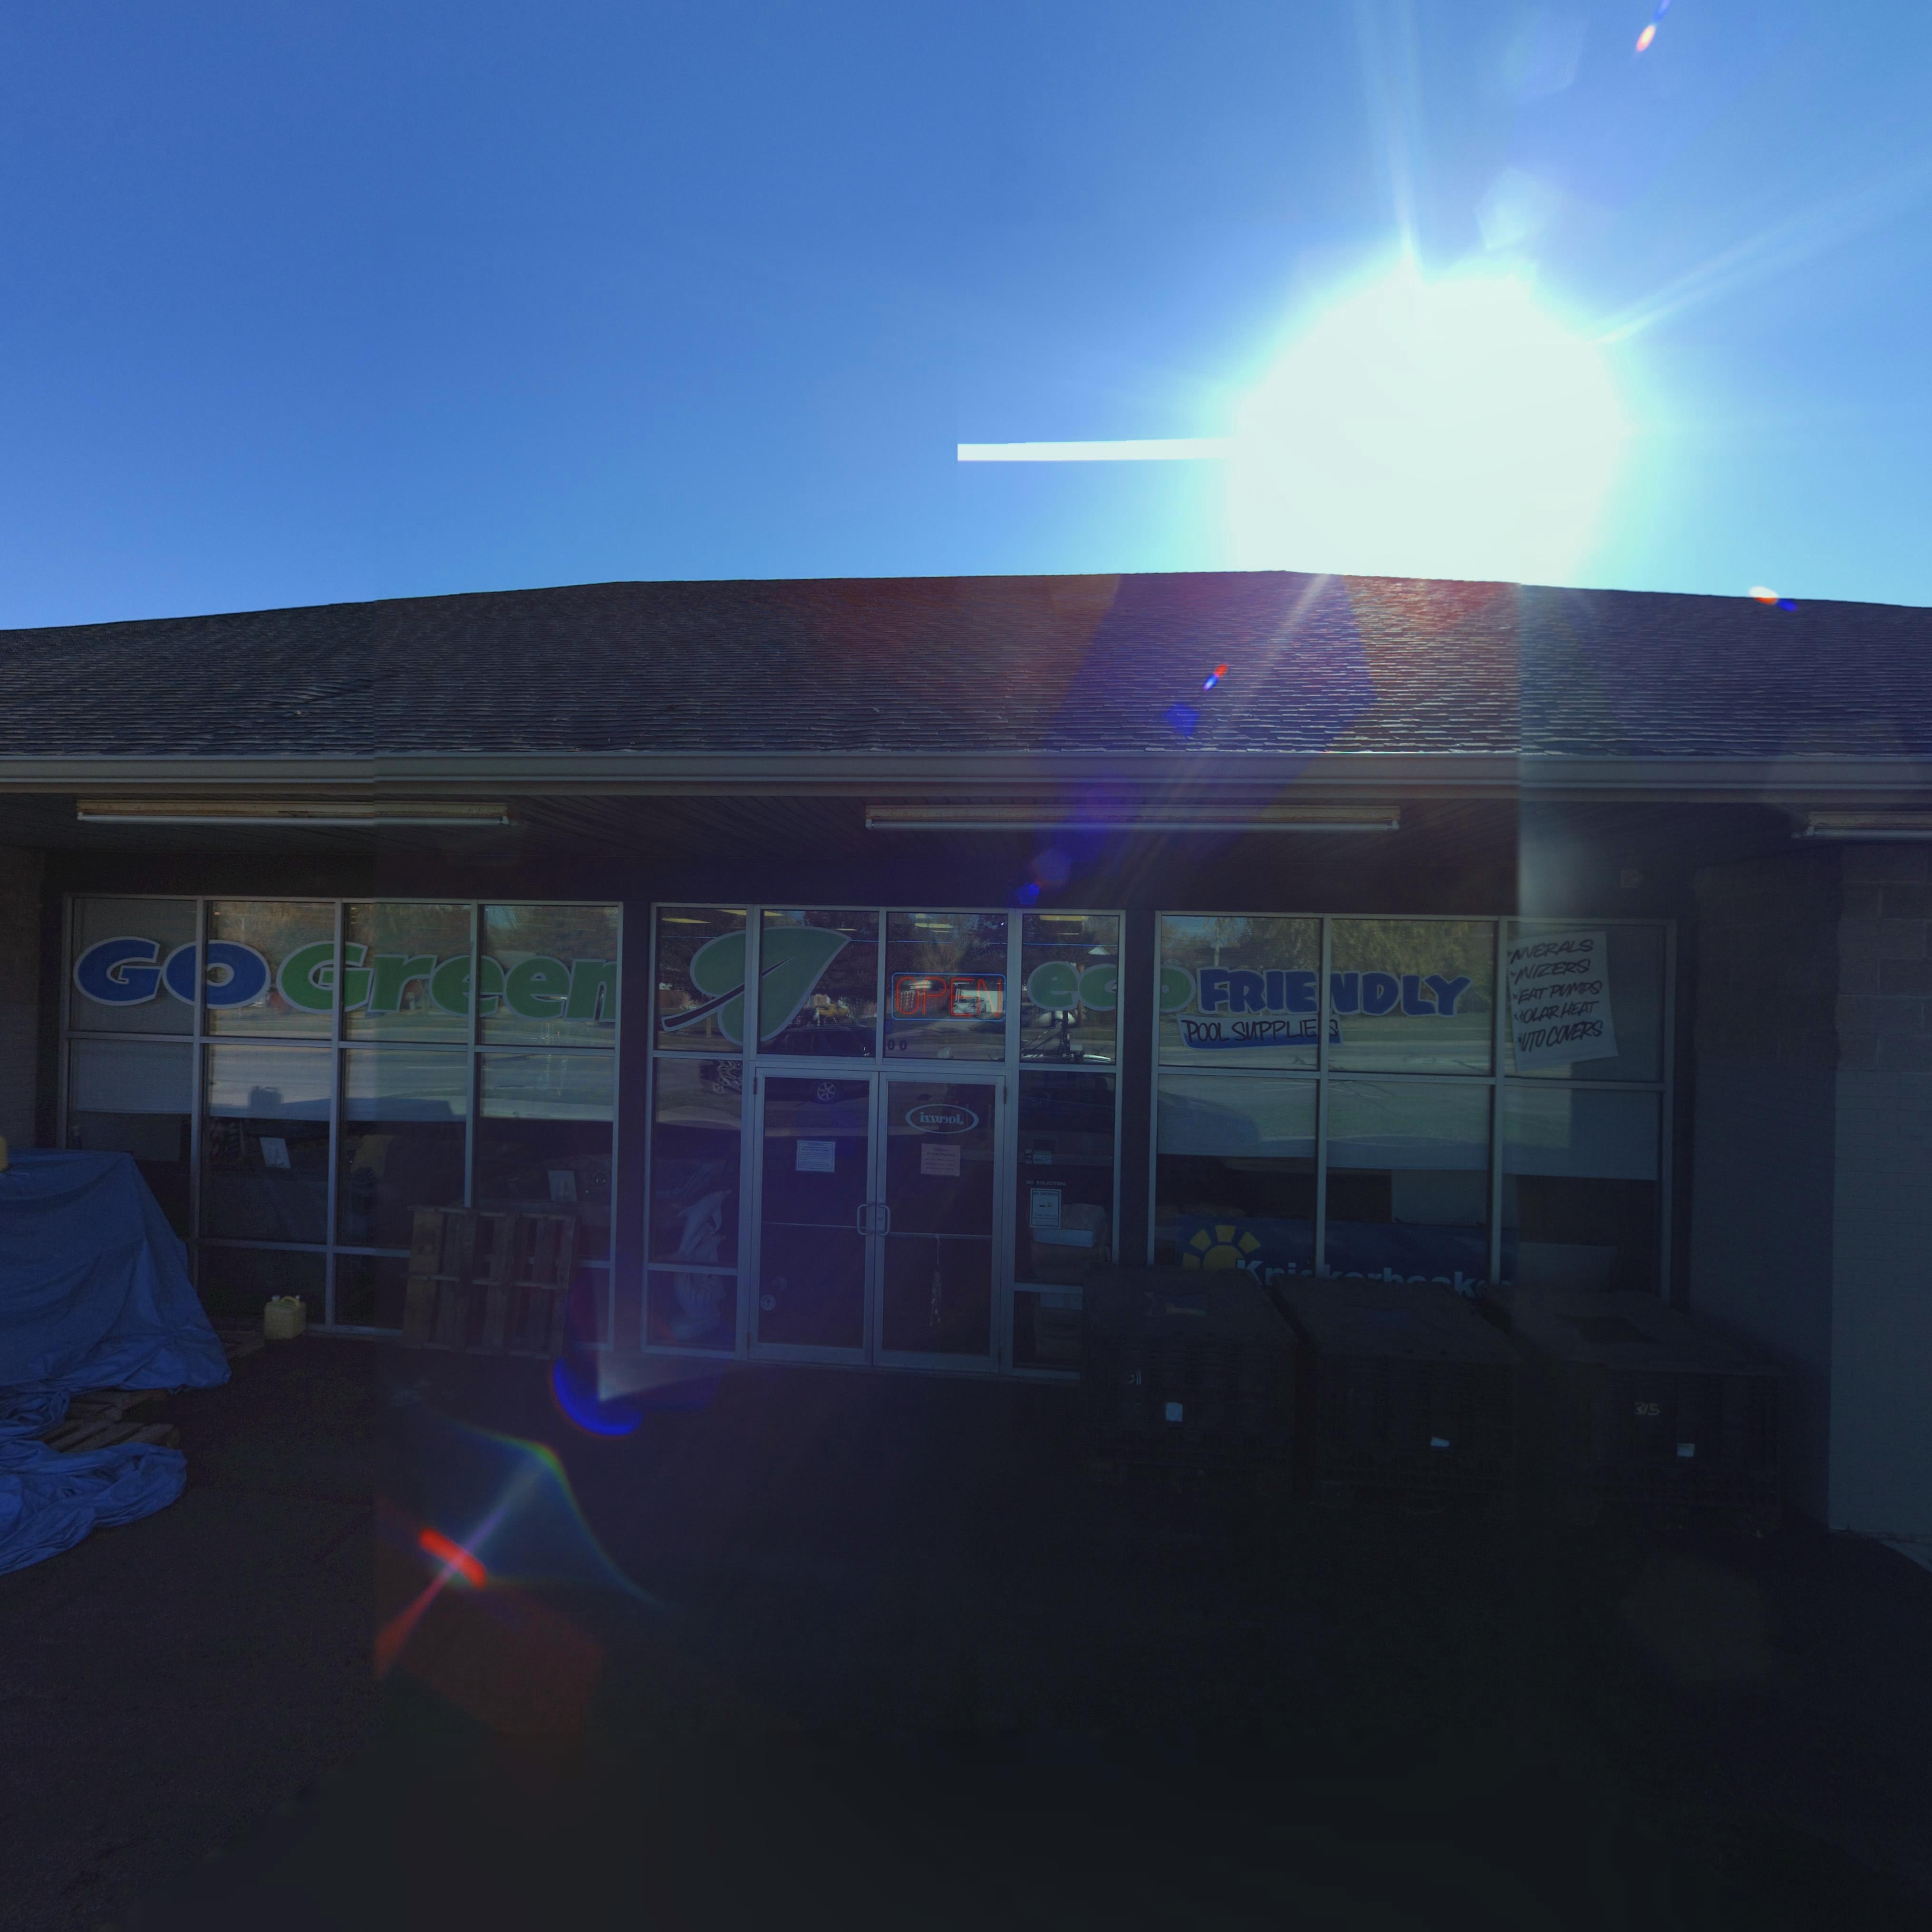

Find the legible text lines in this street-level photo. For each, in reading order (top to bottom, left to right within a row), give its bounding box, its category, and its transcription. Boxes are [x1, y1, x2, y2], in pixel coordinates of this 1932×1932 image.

[886, 1038, 908, 1052] StreetNumber: 00